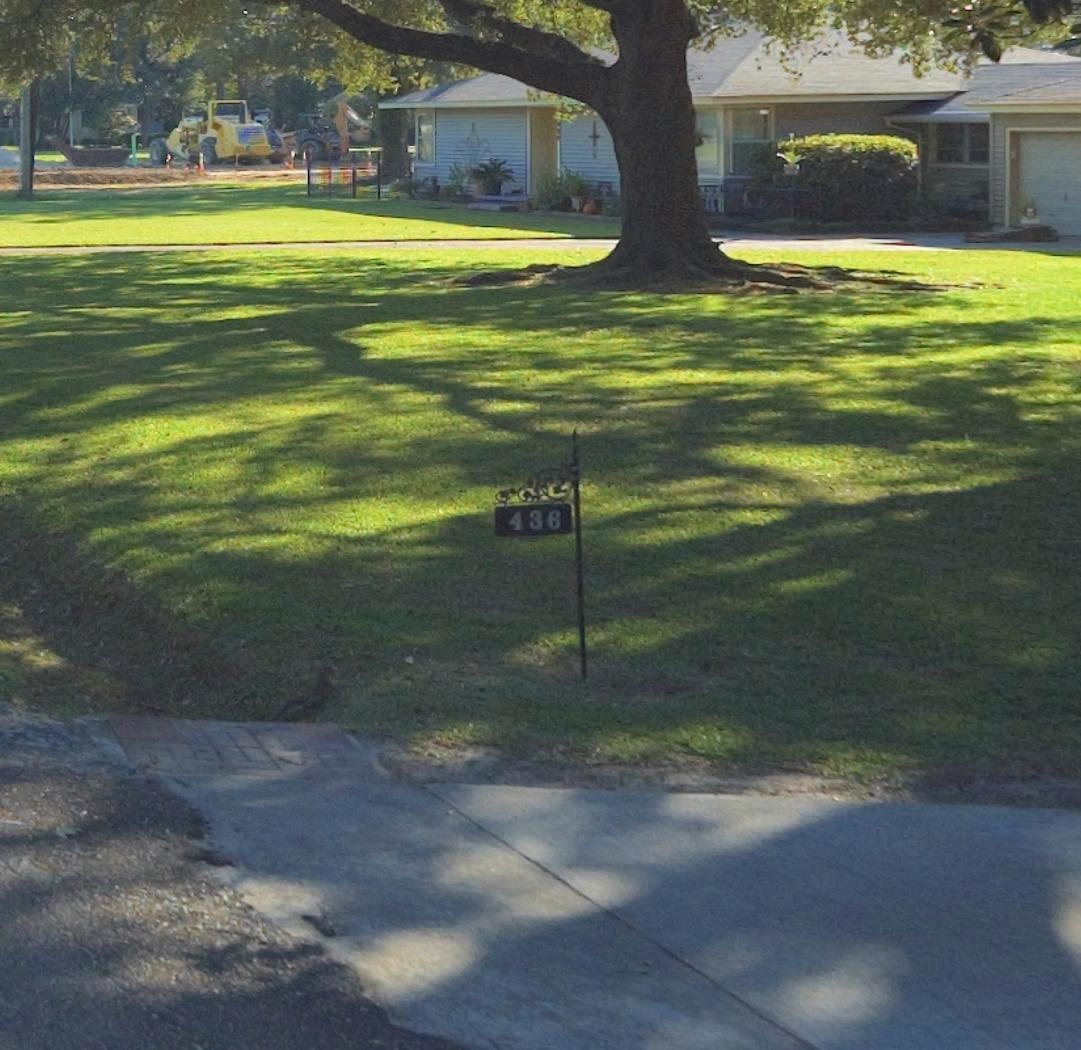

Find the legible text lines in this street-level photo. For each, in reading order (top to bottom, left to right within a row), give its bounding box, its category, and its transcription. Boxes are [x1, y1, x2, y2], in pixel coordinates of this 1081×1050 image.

[508, 509, 563, 531] StreetNumber: 436